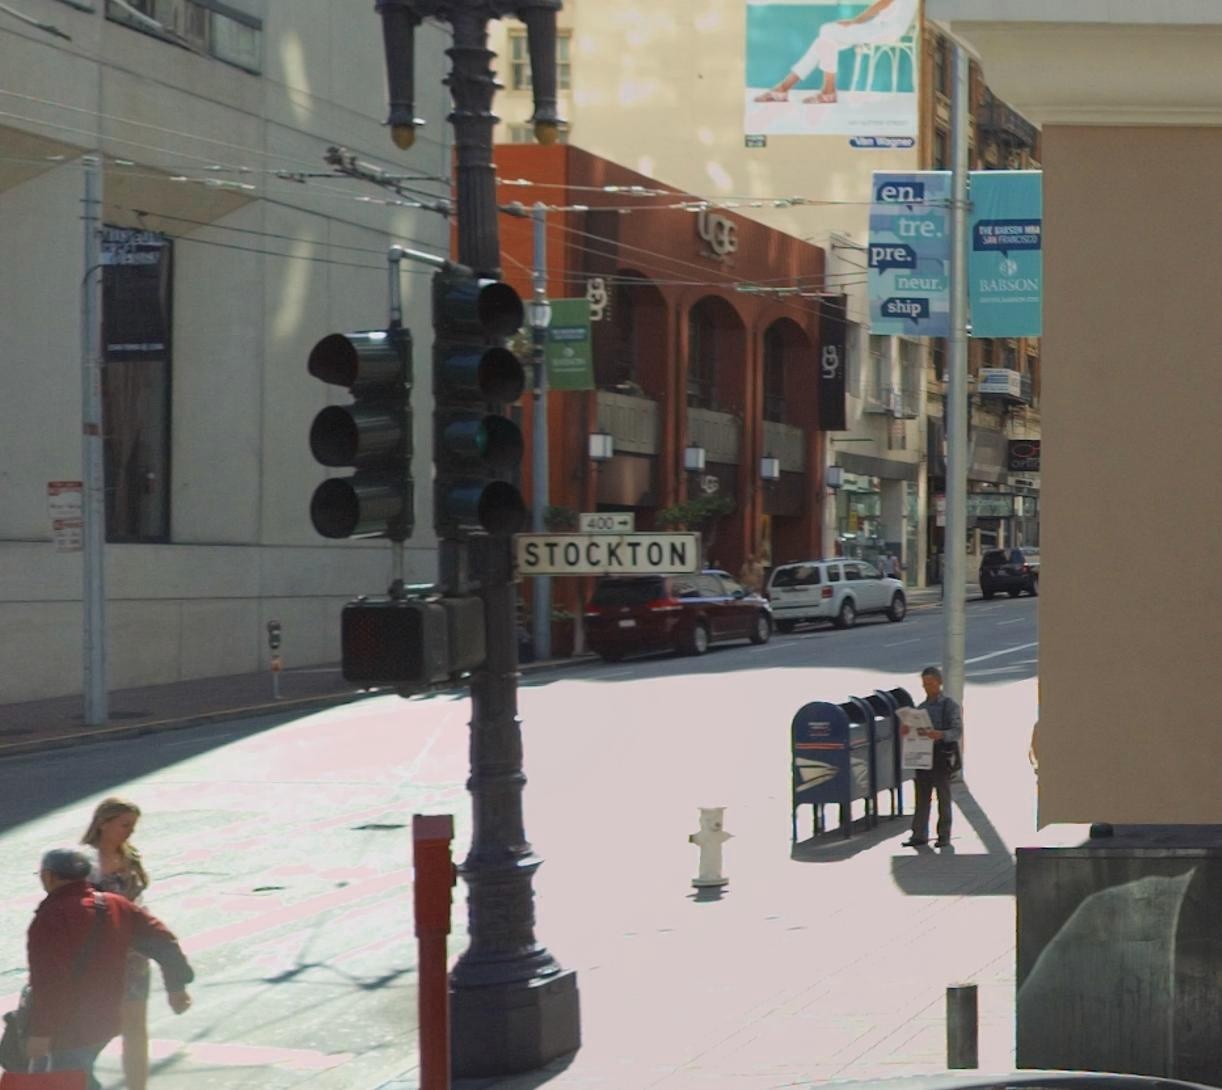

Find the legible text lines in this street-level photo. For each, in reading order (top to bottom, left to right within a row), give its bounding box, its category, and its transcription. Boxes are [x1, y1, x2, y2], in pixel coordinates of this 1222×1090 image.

[878, 183, 926, 204] None: en.
[896, 214, 944, 239] None: tre.
[868, 244, 914, 267] None: pre.
[894, 274, 946, 292] None: neur.
[976, 275, 1042, 294] None: BABSON
[883, 296, 925, 320] None: ship
[582, 514, 632, 532] StreetNumberRange: 400->
[520, 537, 689, 570] StreetName: STOCKTON